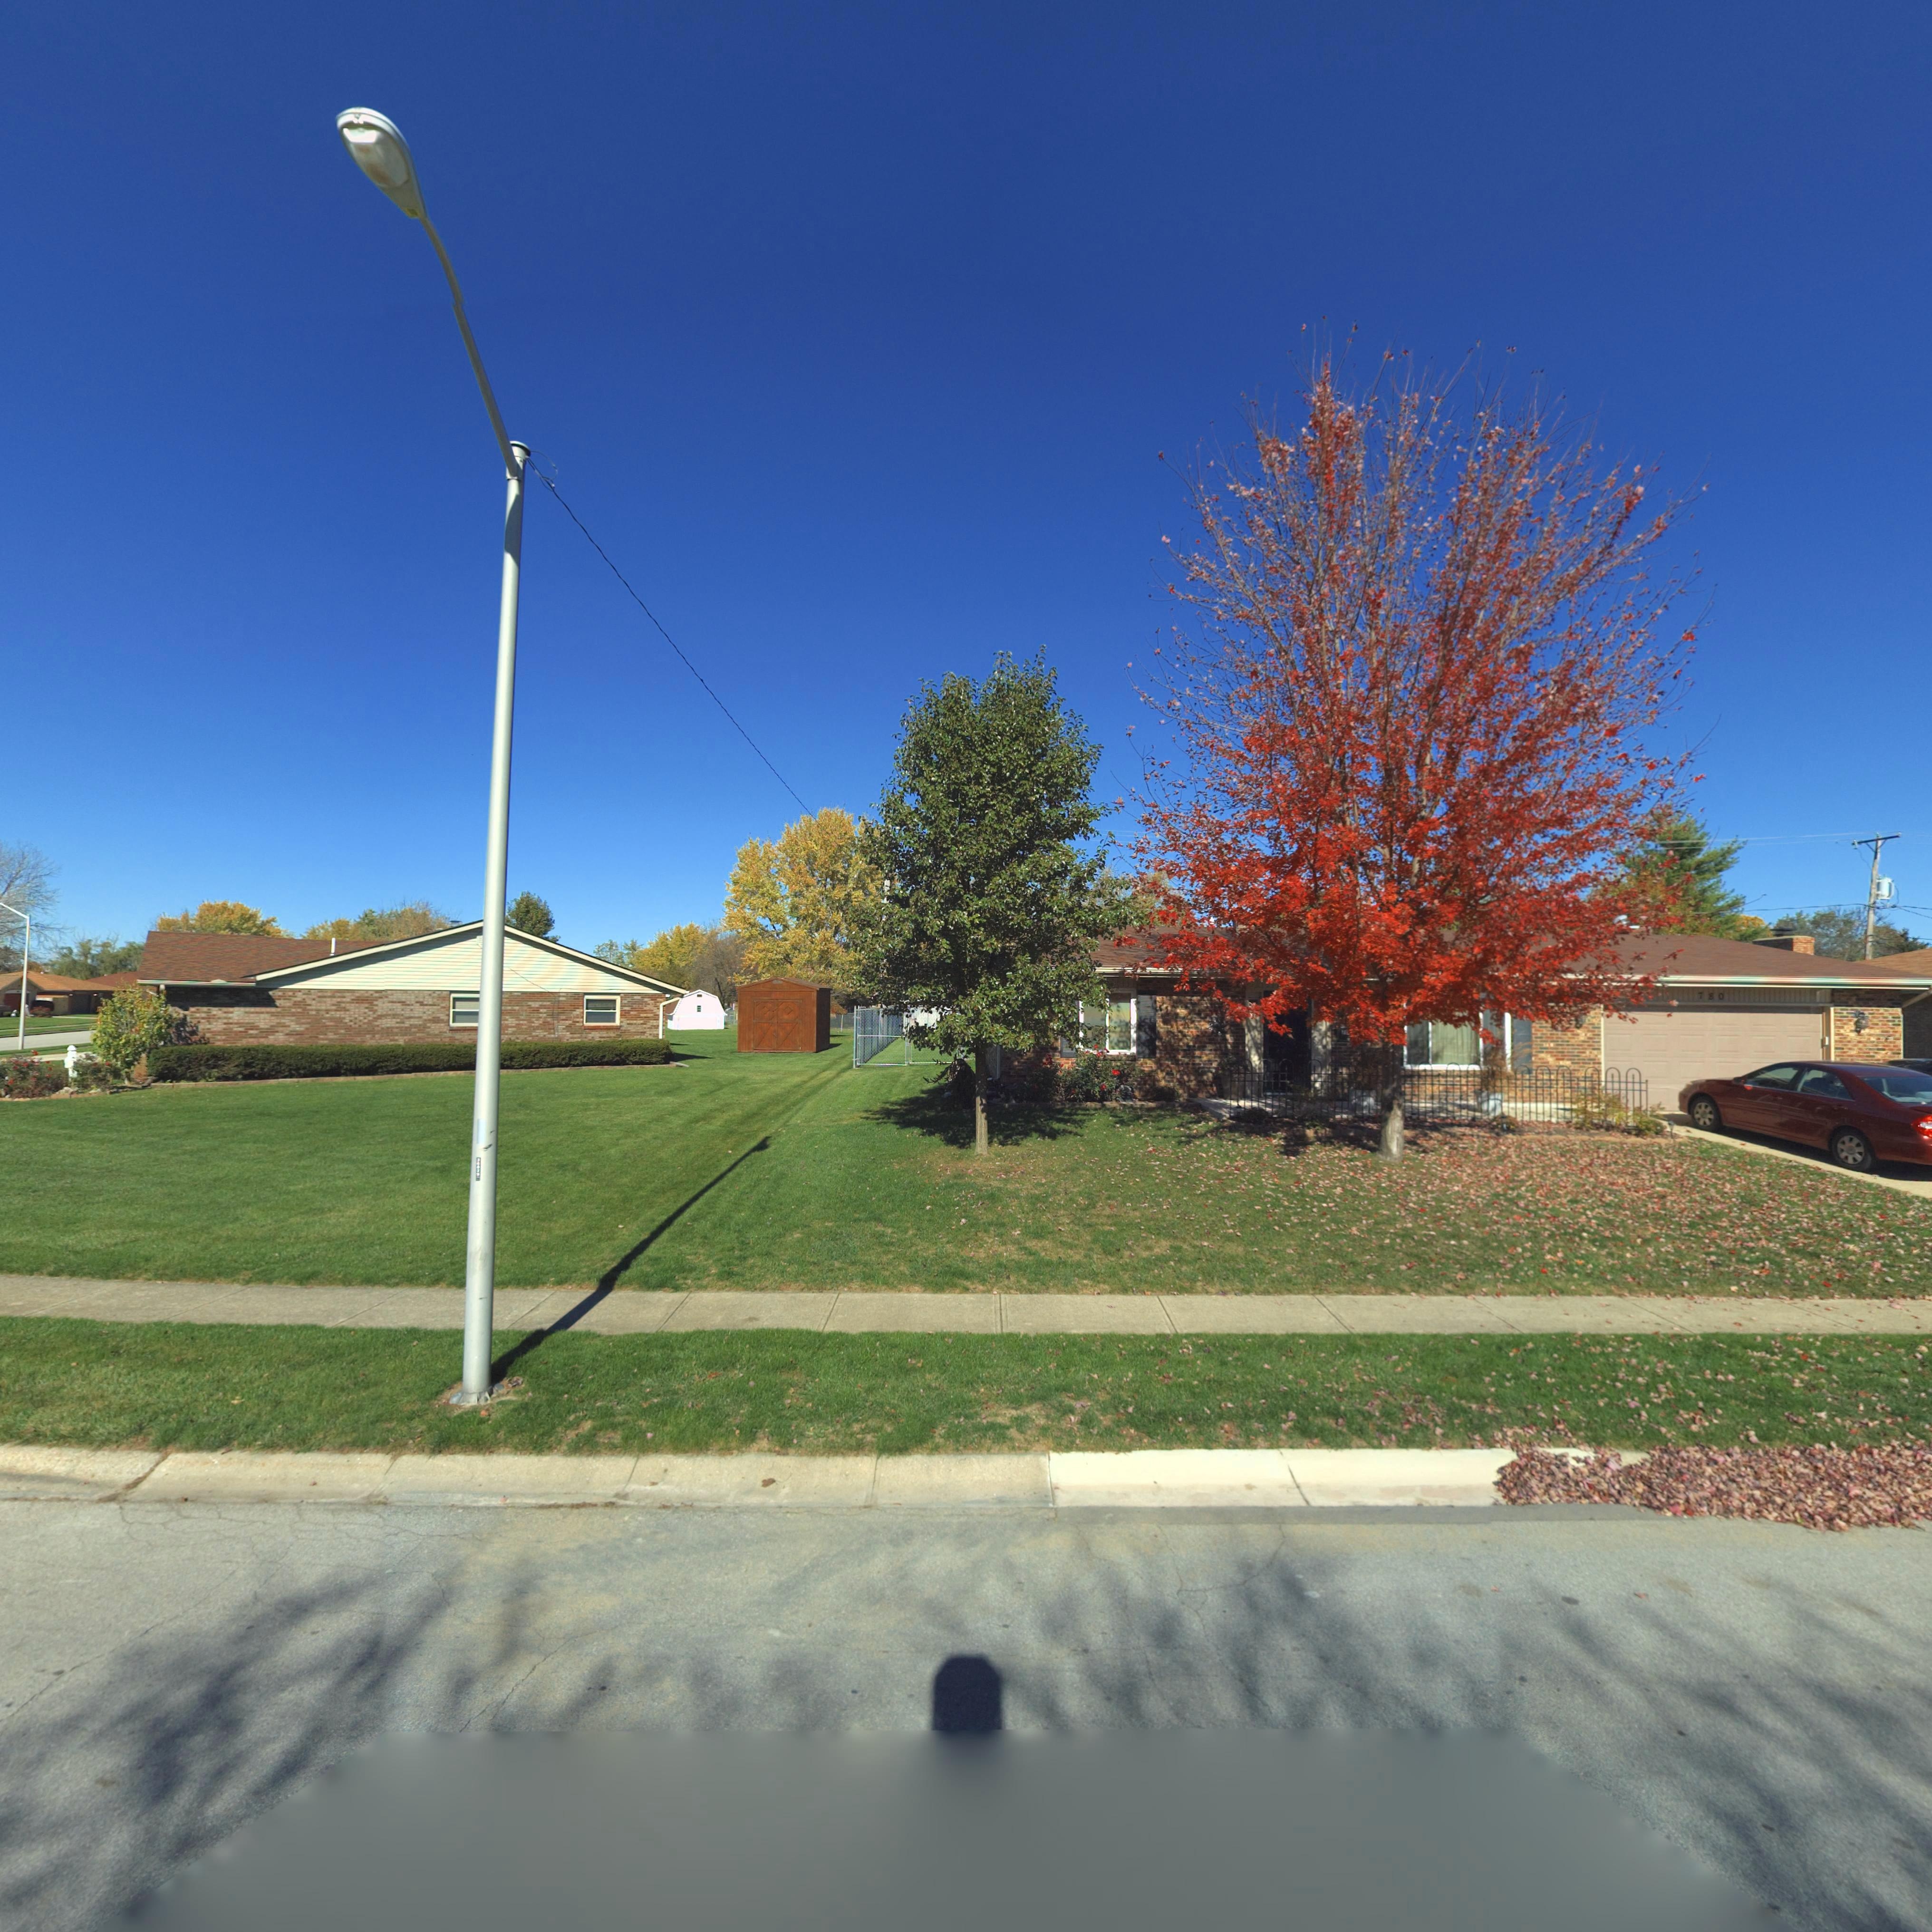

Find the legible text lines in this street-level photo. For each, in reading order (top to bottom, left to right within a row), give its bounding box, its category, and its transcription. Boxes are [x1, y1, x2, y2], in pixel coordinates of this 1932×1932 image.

[1698, 992, 1724, 1000] StreetNumber: 780